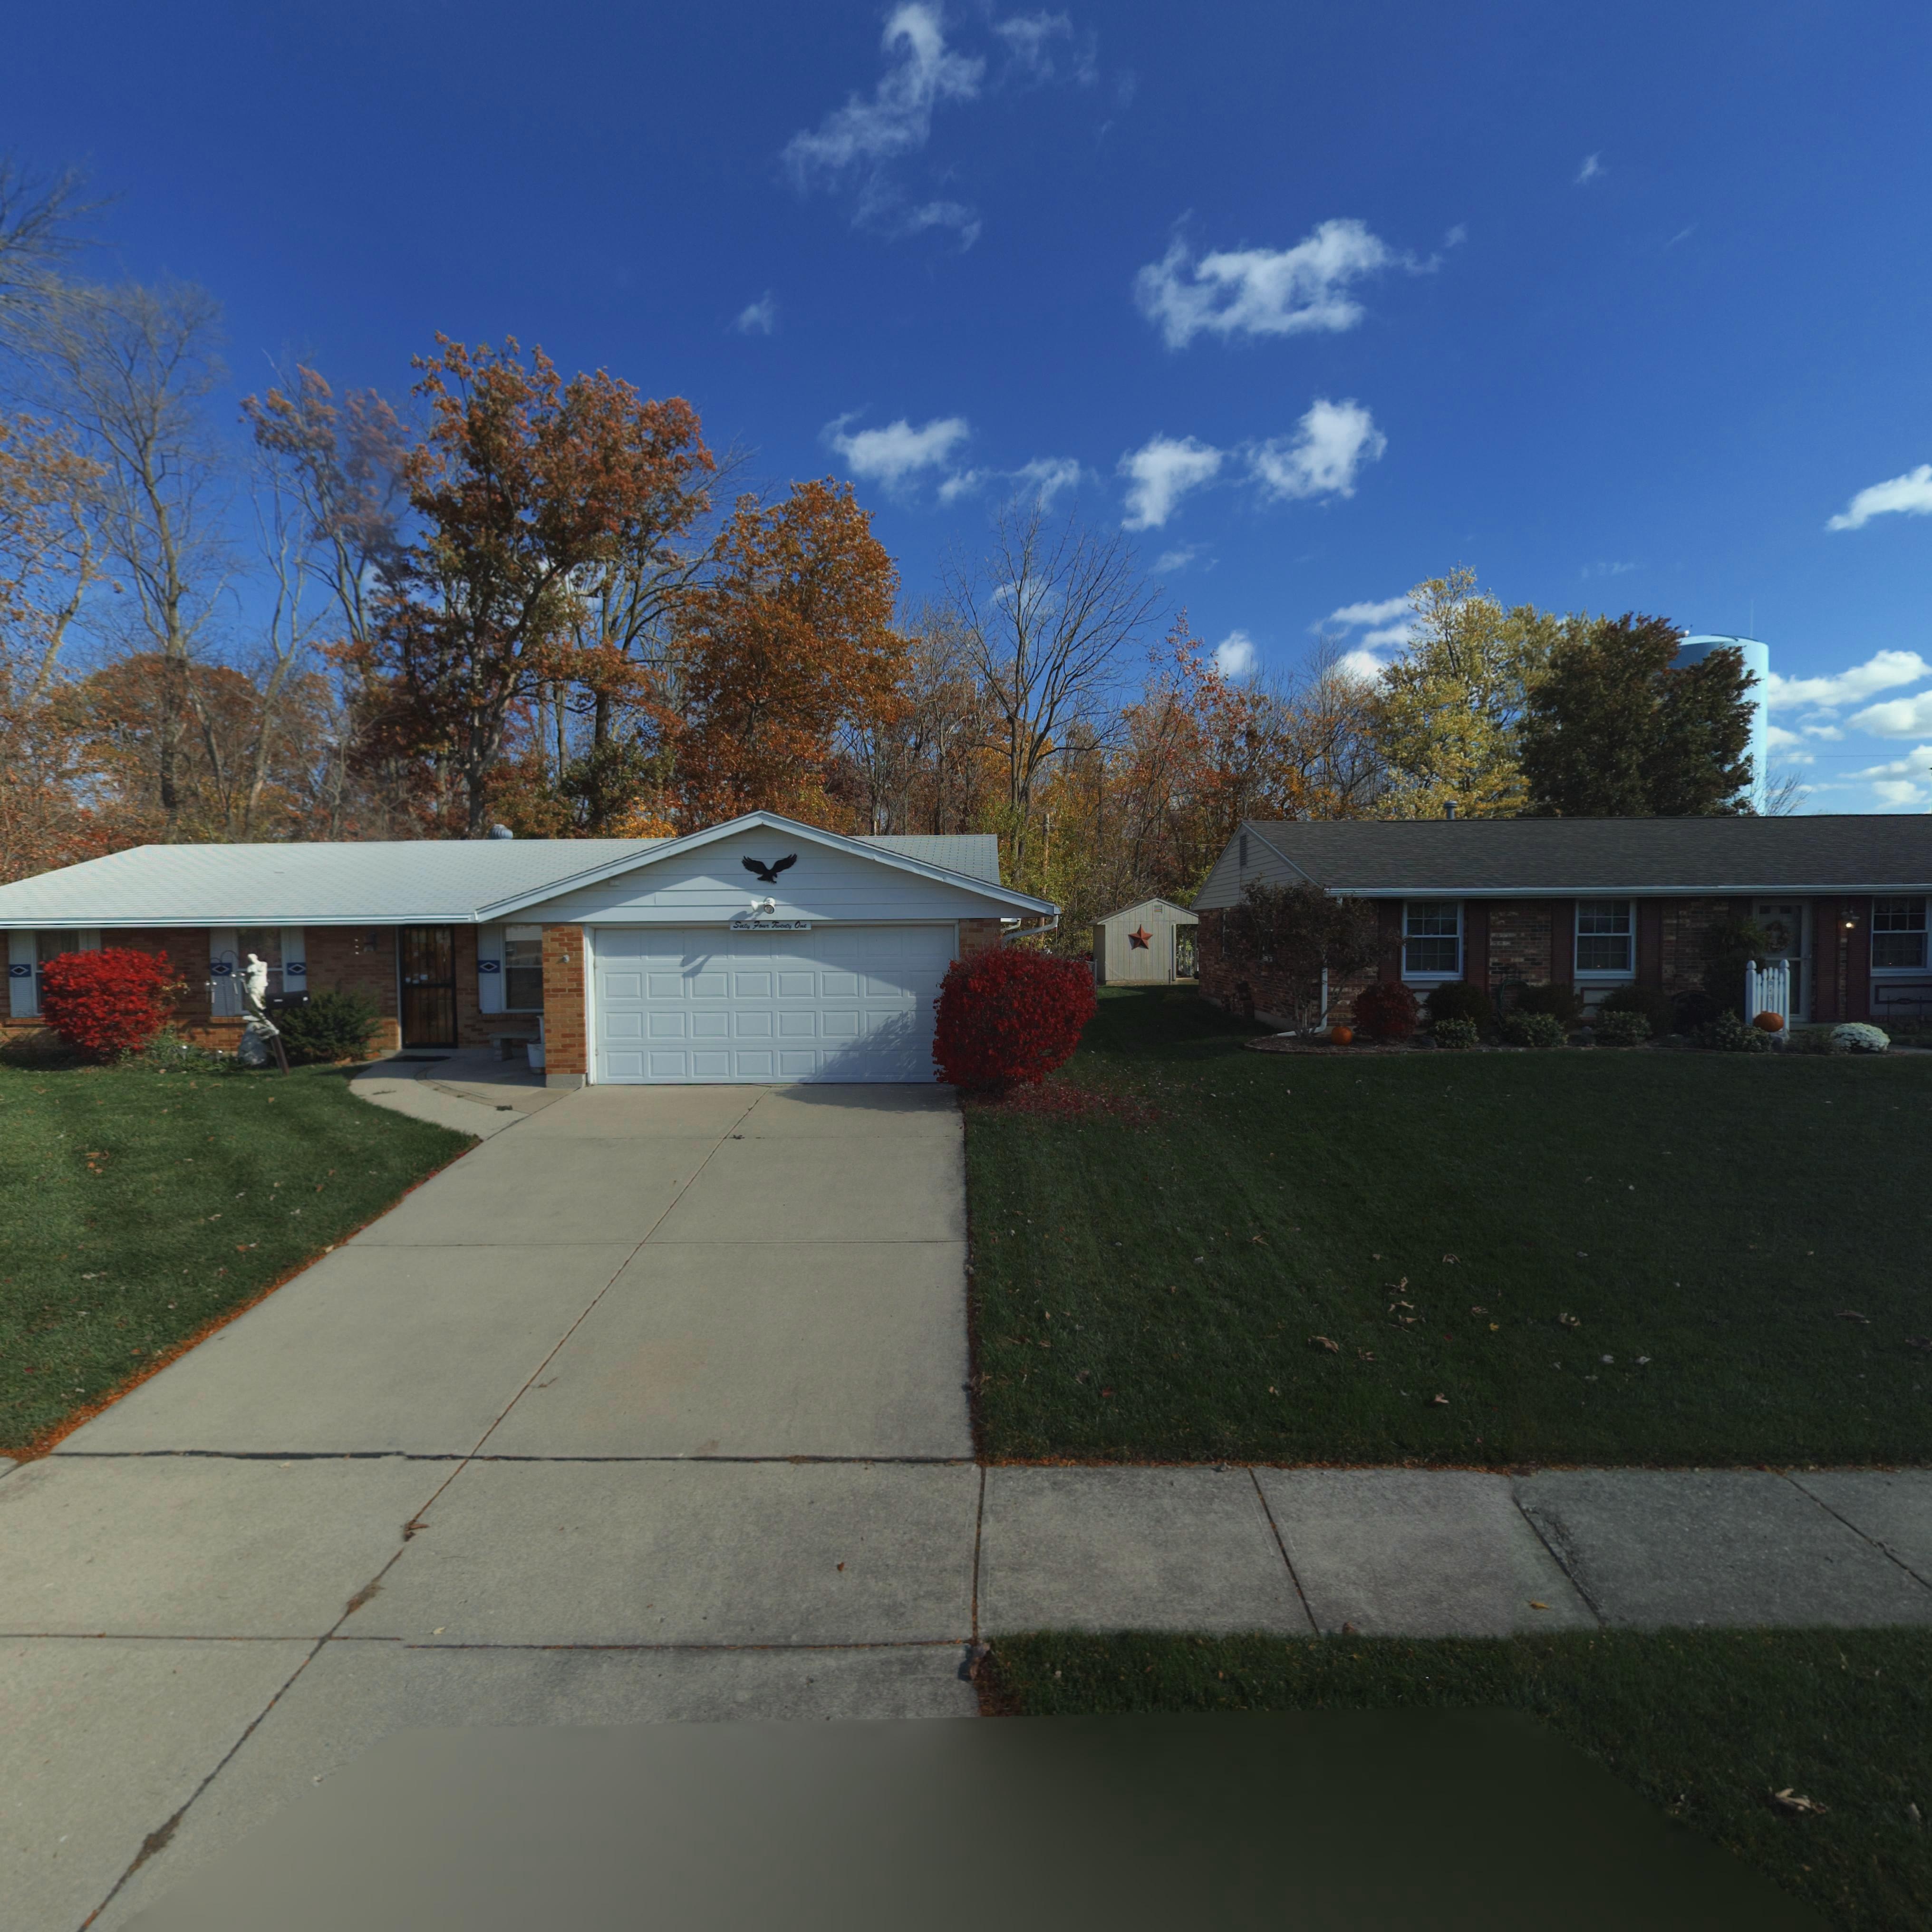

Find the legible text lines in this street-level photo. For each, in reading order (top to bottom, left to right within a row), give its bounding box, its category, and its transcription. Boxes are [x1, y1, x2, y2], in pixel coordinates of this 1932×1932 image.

[732, 920, 807, 929] StreetNumber: Sixty Four Twenty One
[1768, 976, 1773, 1010] StreetNumber: 6431